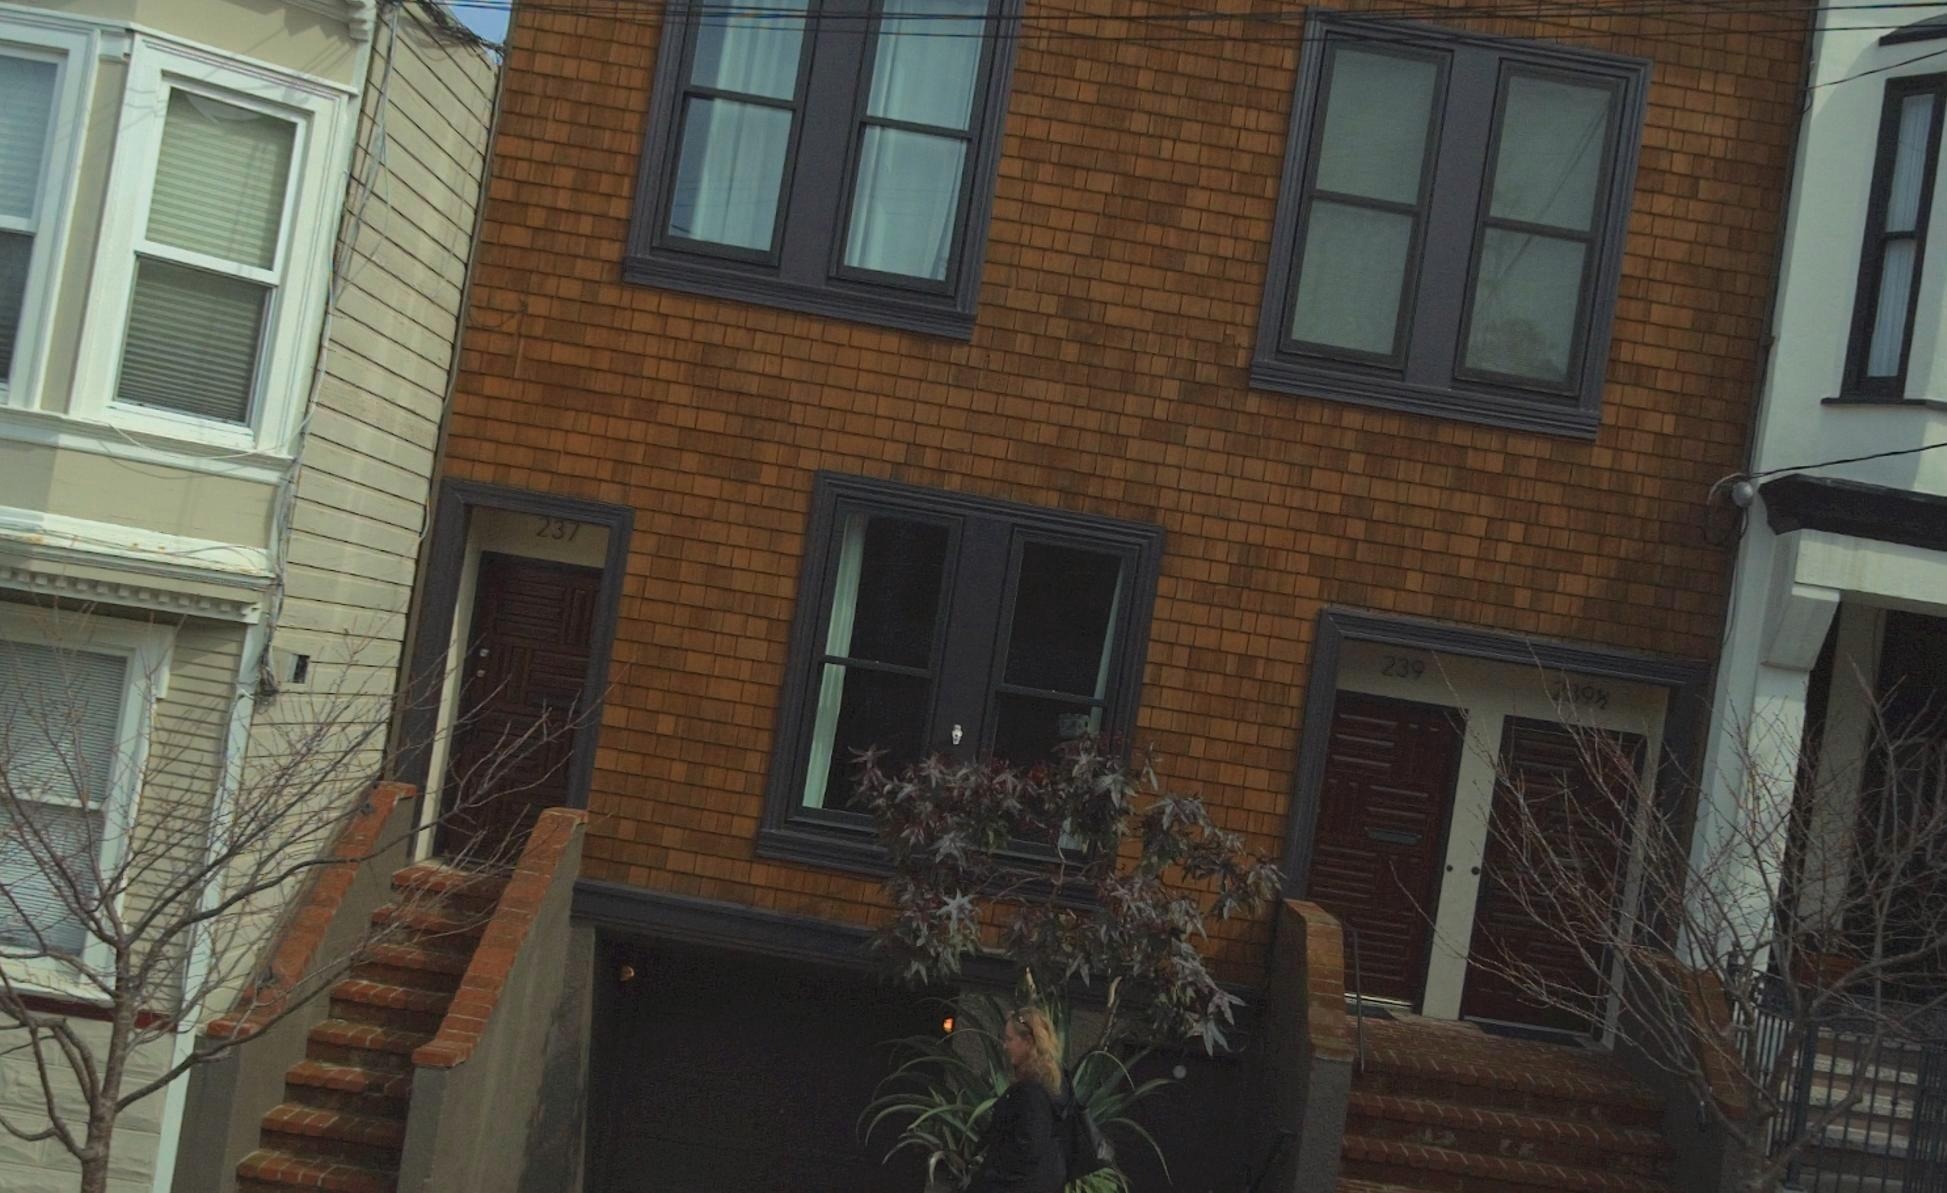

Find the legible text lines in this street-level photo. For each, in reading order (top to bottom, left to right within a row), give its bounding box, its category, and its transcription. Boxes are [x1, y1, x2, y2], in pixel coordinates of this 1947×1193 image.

[535, 514, 581, 543] StreetNumber: 237
[1380, 652, 1427, 683] StreetNumber: 239
[1552, 680, 1612, 712] StreetNumber: *39 1/2